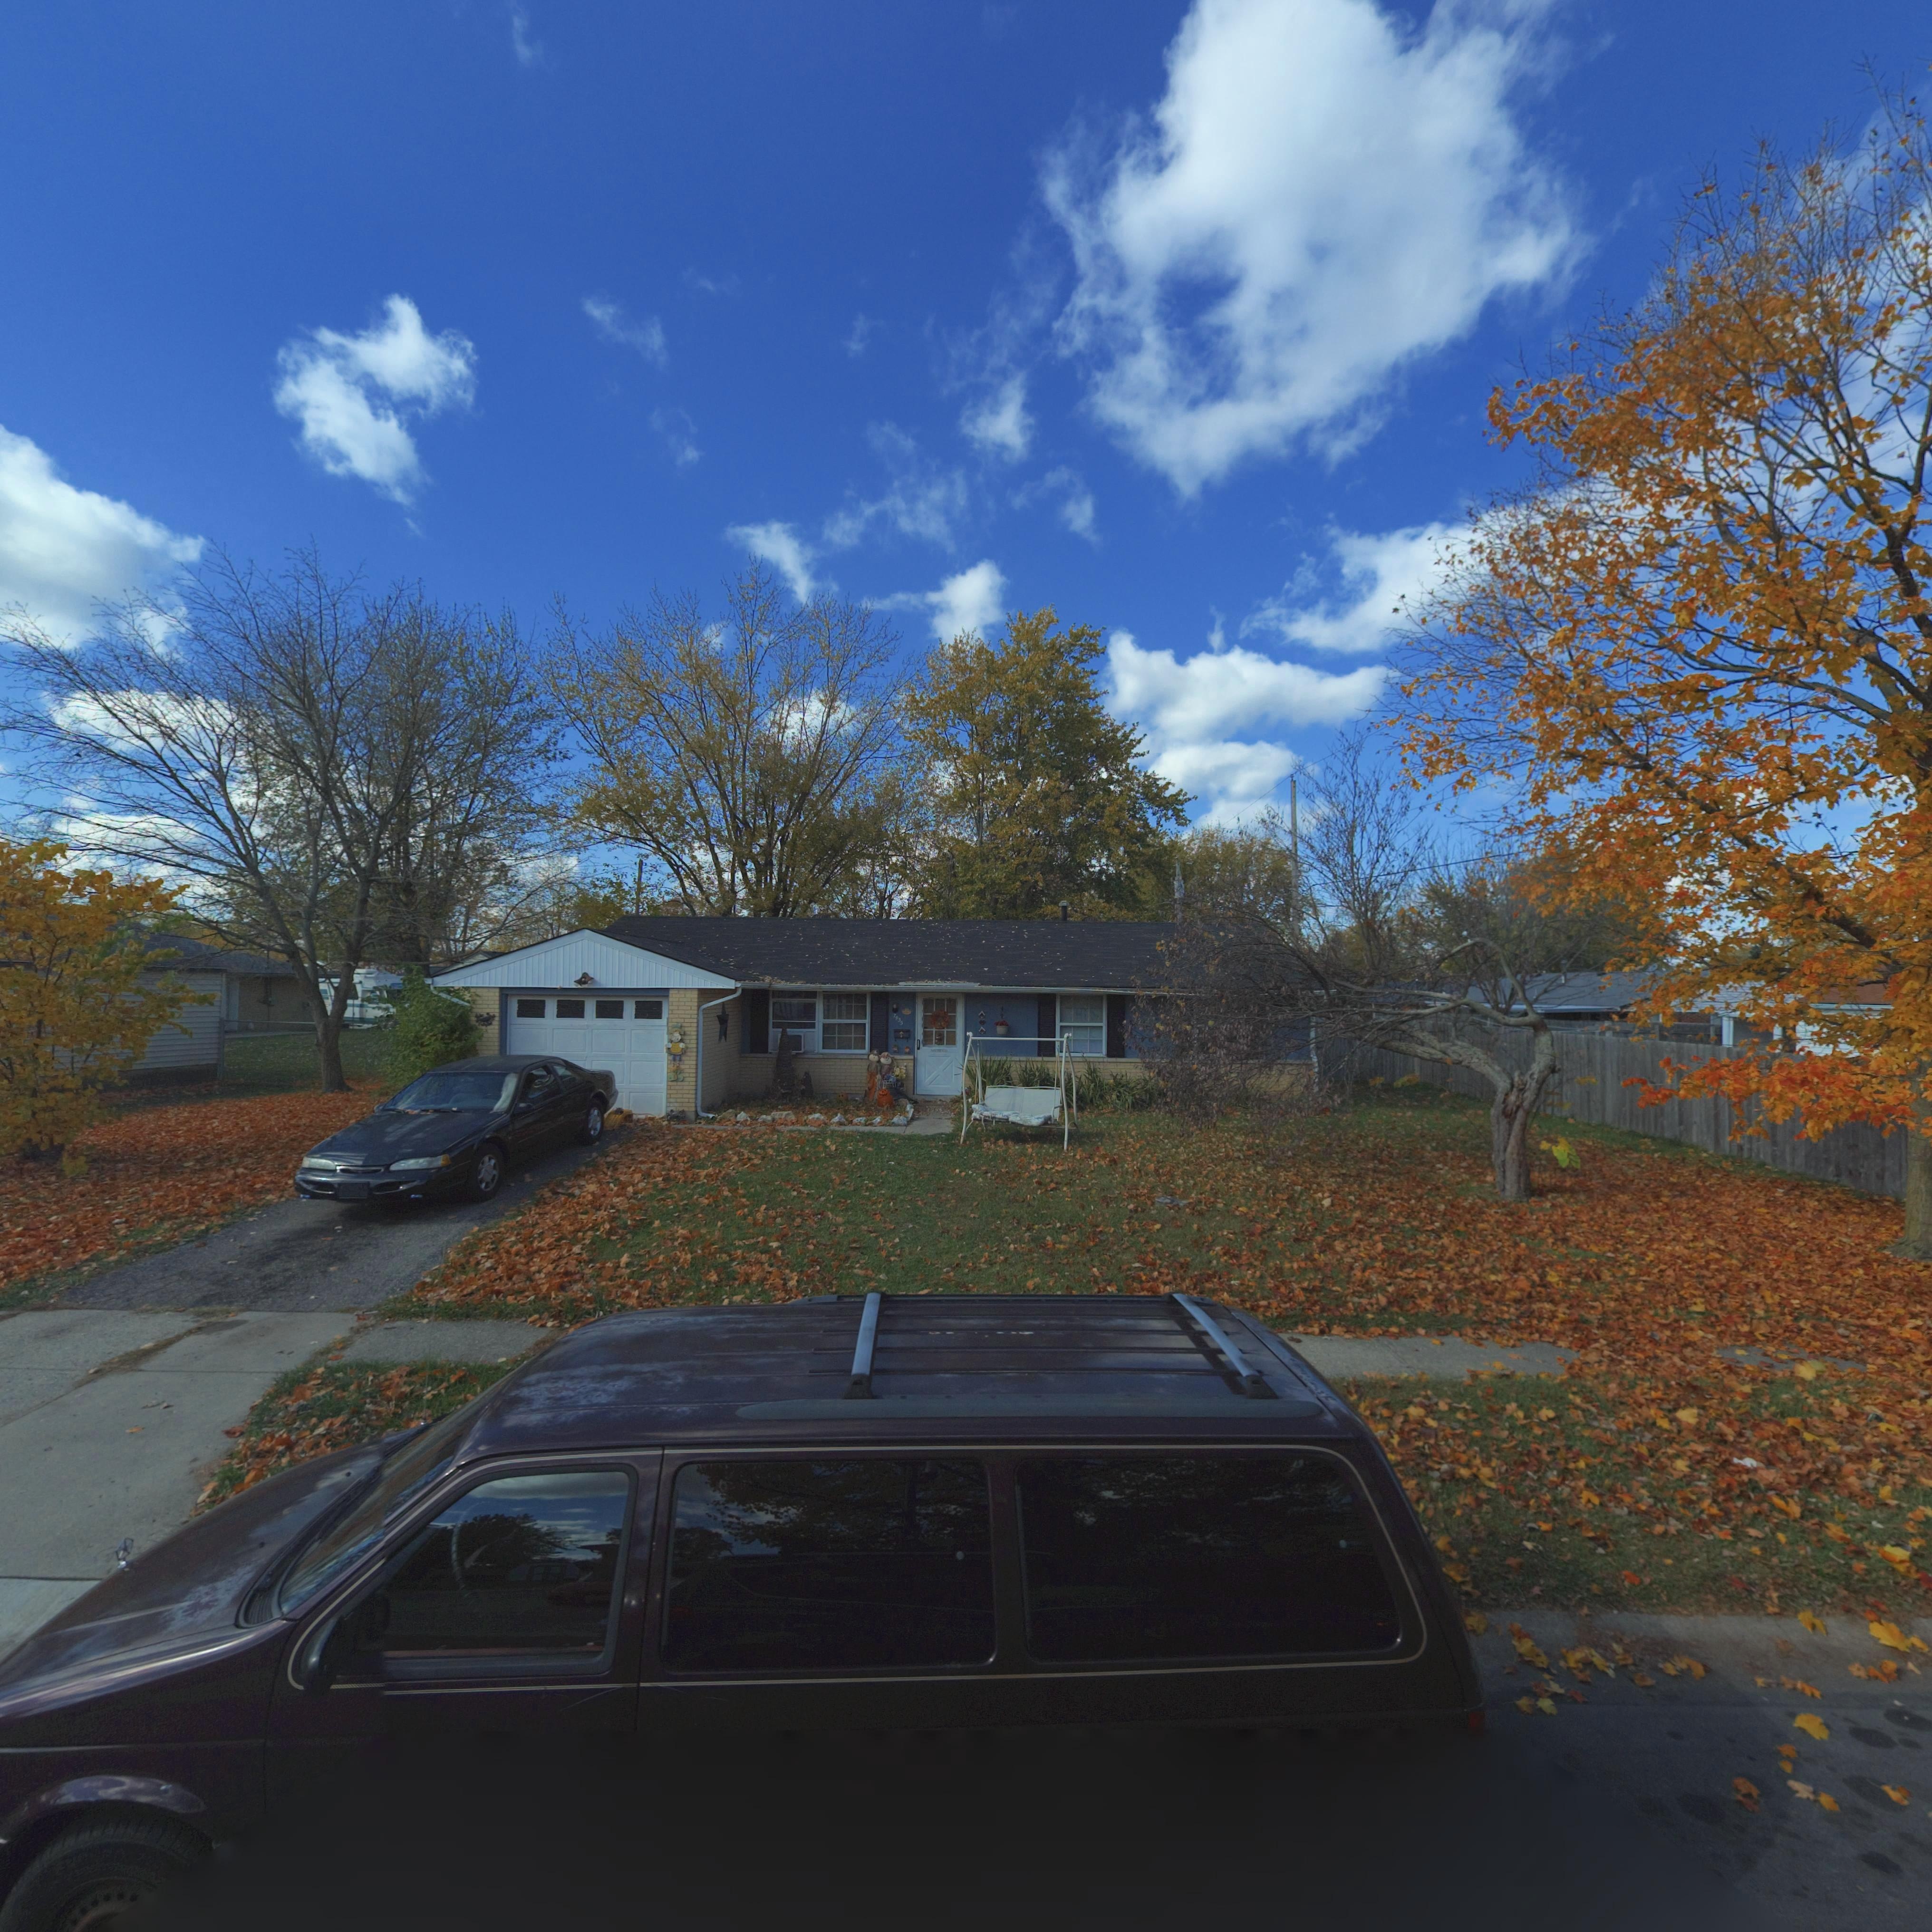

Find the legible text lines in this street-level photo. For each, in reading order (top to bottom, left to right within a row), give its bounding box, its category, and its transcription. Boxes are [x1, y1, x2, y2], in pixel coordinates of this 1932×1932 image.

[893, 1013, 904, 1026] StreetNumber: 7935